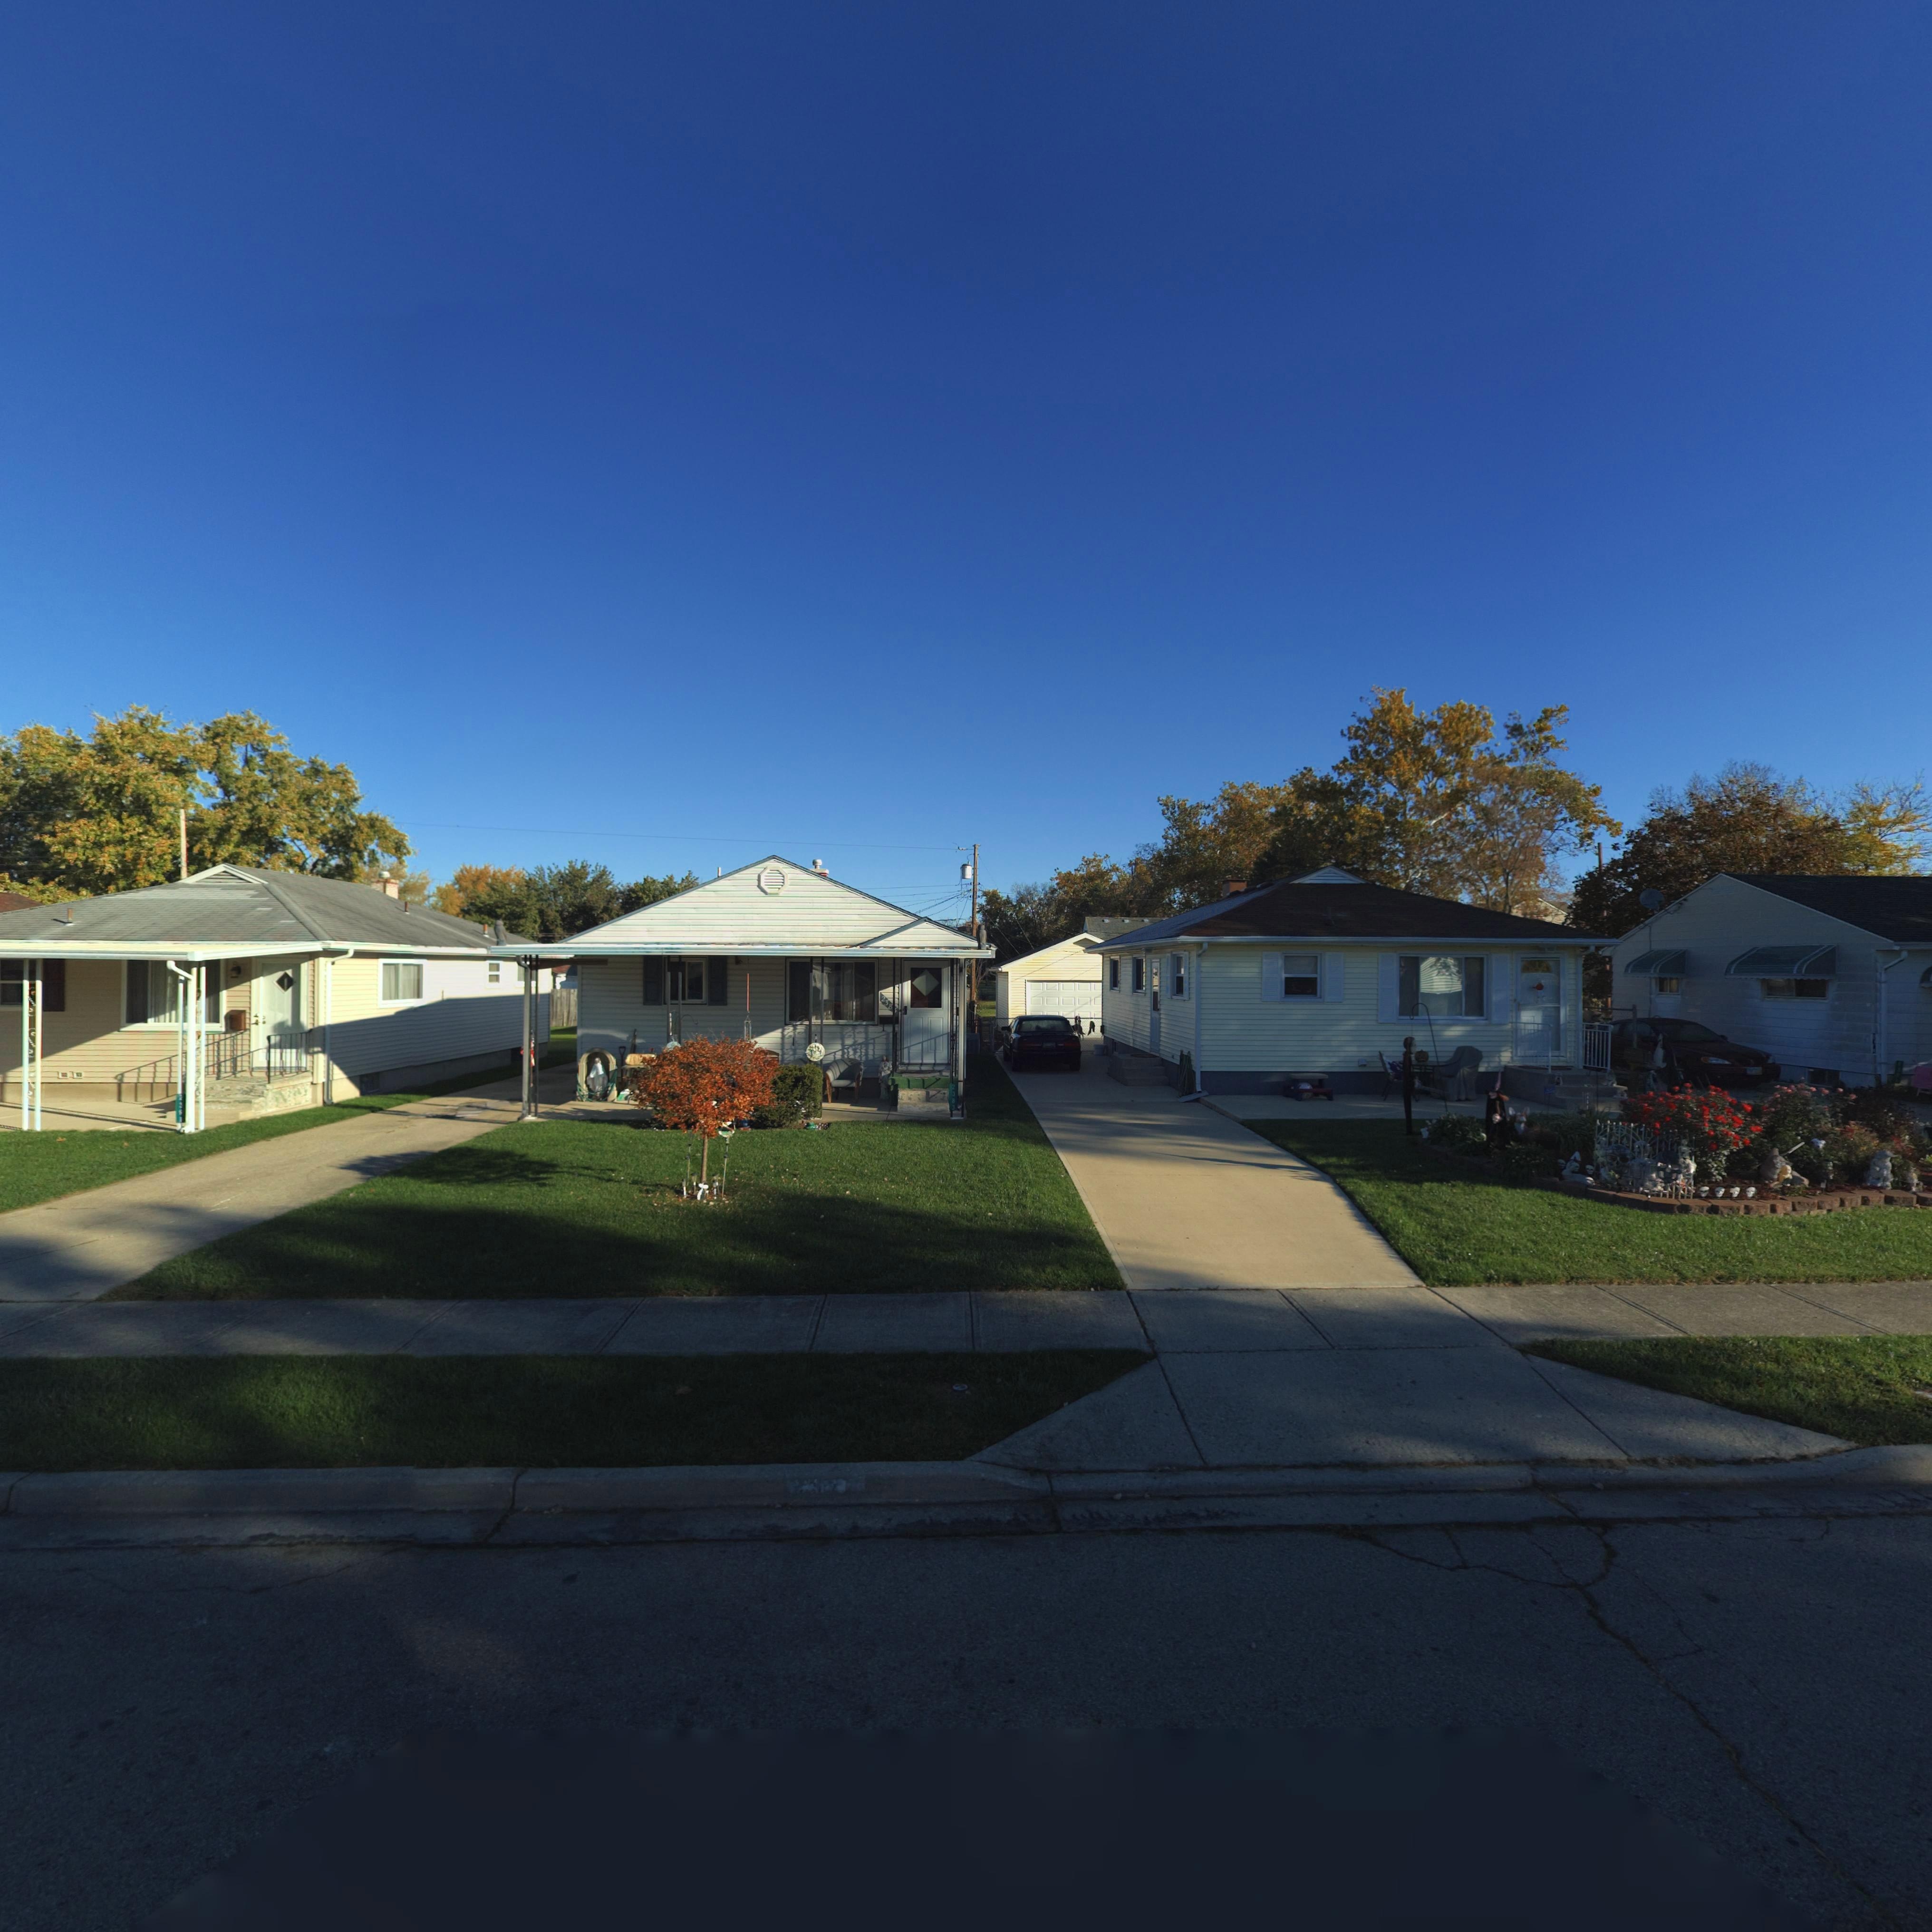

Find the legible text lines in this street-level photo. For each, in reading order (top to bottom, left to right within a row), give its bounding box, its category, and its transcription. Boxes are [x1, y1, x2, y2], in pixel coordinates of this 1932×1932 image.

[880, 994, 892, 1012] StreetNumber: 238
[1894, 1061, 1902, 1084] StreetNumber: 2371
[952, 1083, 955, 1111] StreetNumber: 2383